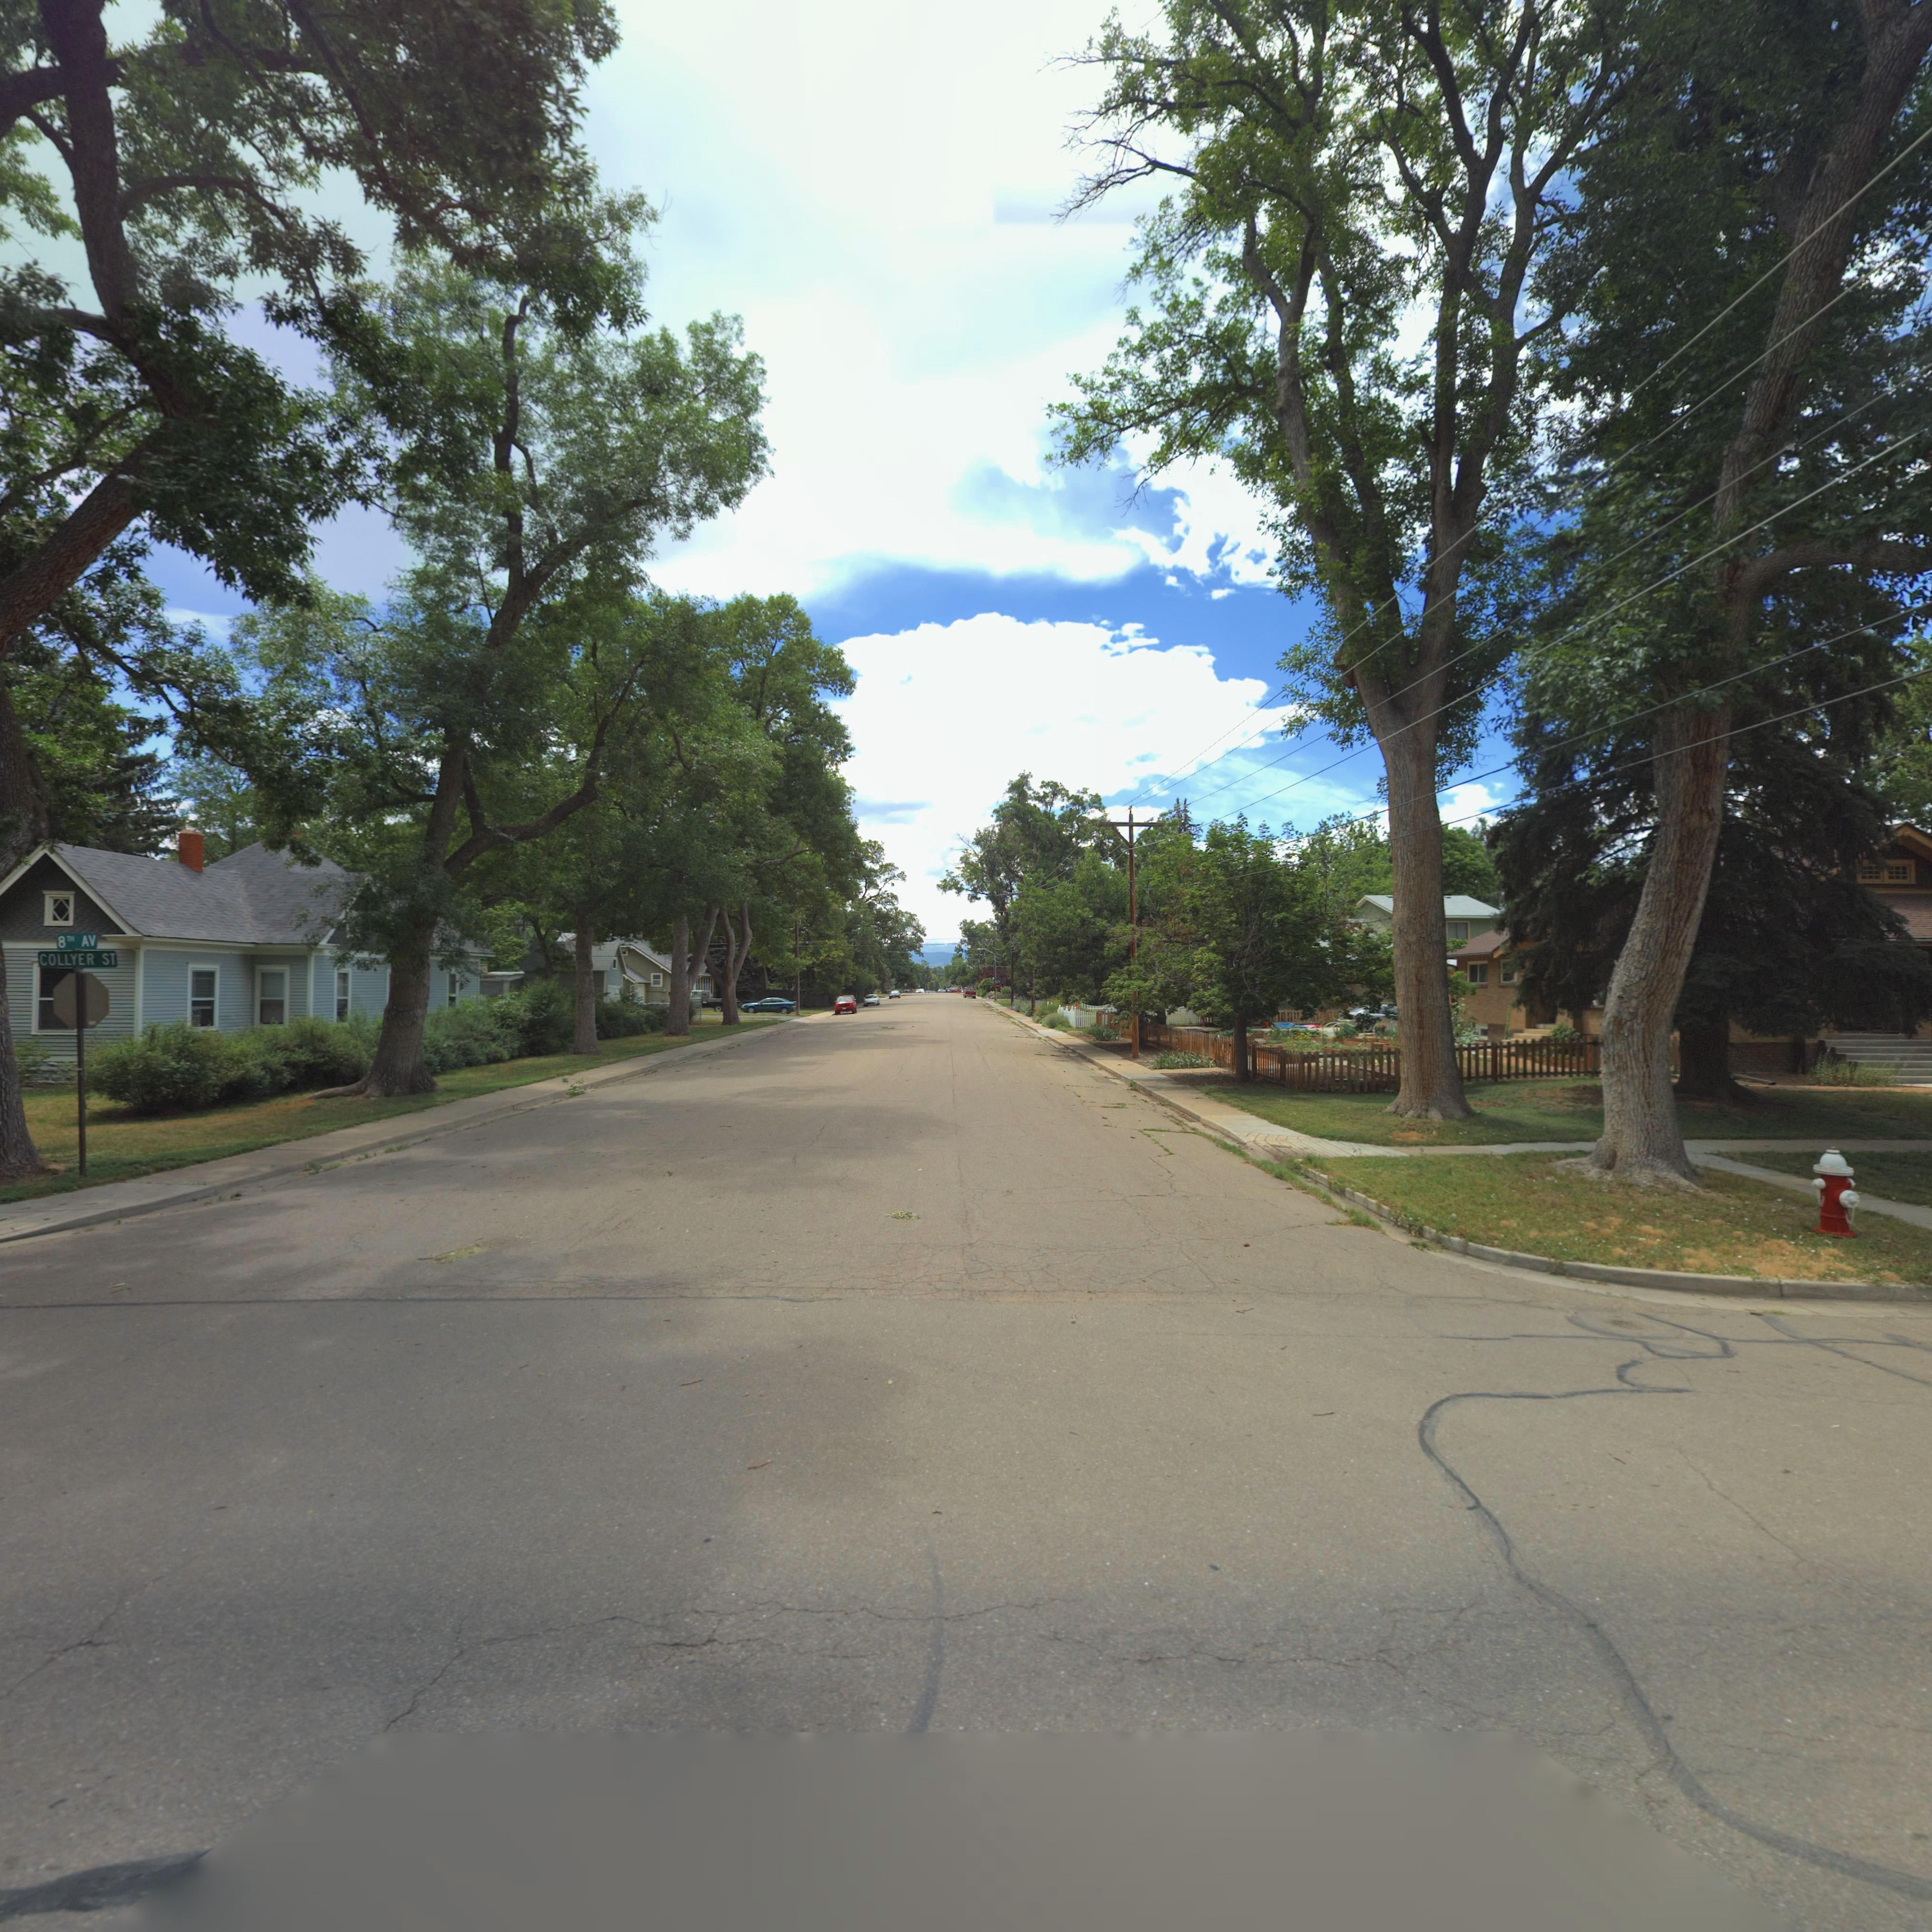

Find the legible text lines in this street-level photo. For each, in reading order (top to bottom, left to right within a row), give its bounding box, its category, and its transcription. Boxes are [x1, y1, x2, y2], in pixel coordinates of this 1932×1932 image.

[58, 934, 97, 949] StreetName: 8TH AV
[39, 953, 116, 966] StreetName: COLLYER ST